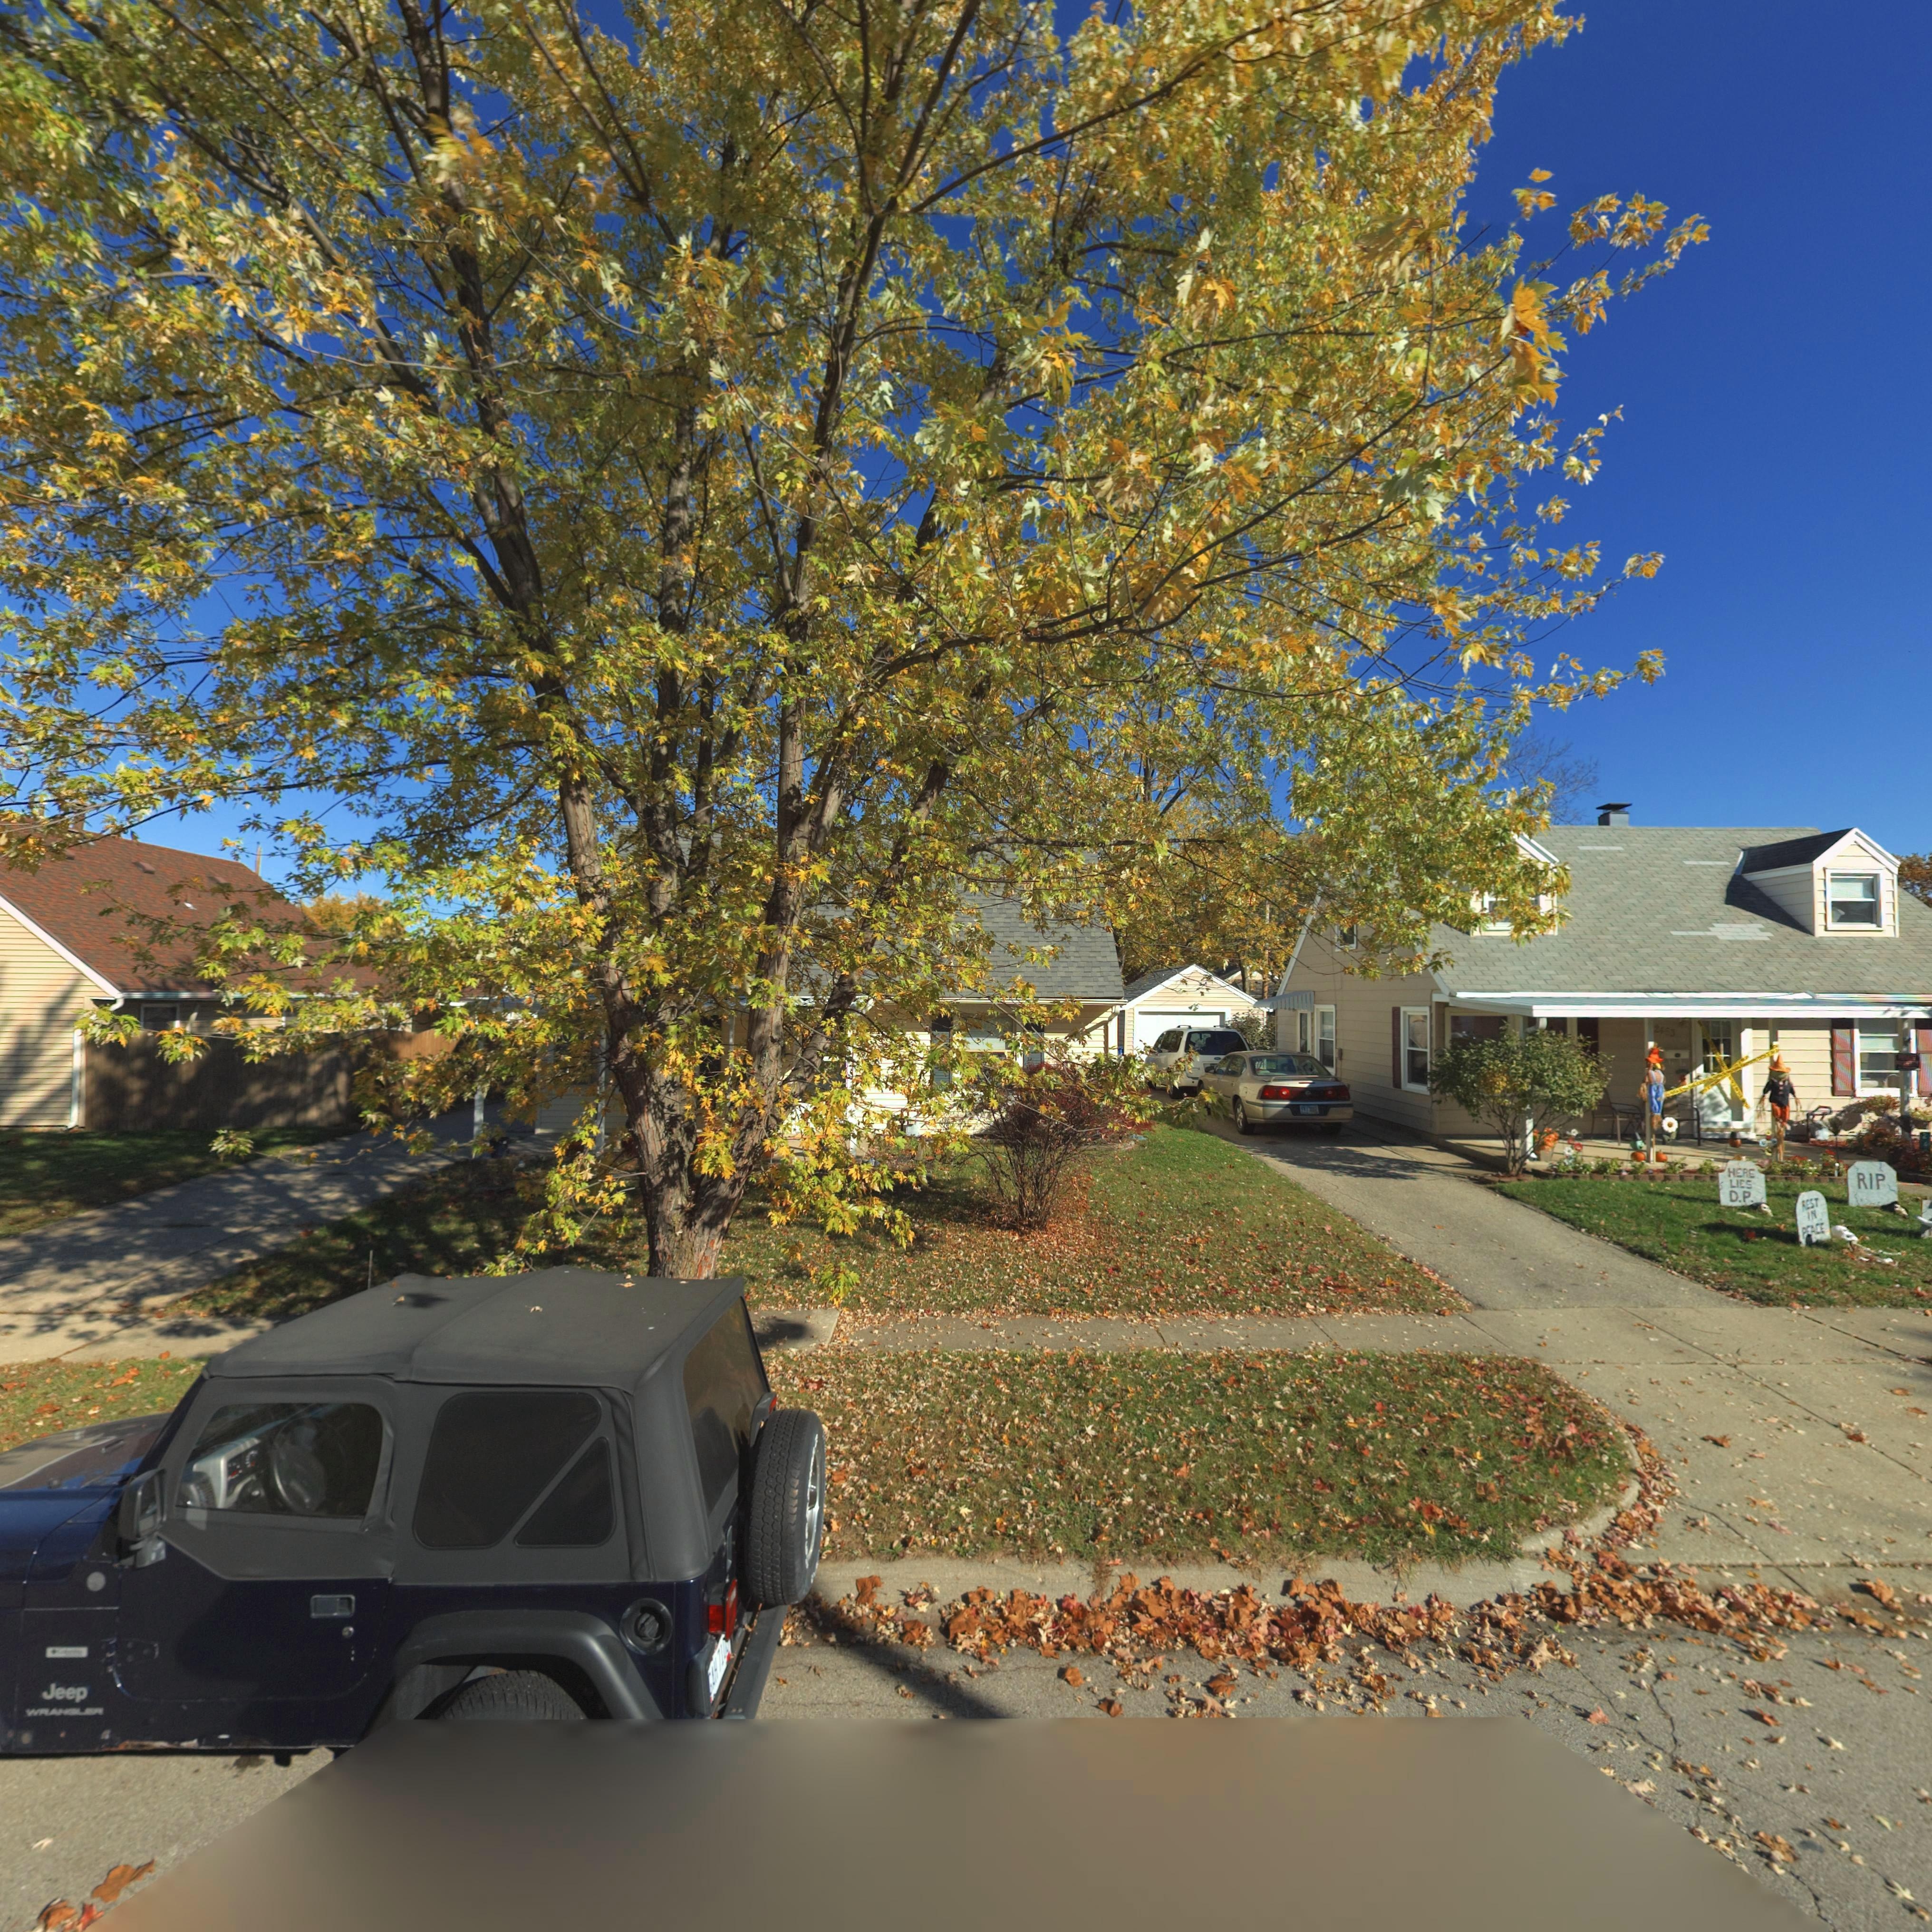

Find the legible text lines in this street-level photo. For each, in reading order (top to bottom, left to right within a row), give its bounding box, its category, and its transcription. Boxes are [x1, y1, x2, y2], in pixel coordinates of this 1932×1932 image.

[1653, 1024, 1676, 1037] StreetNumber: 2463